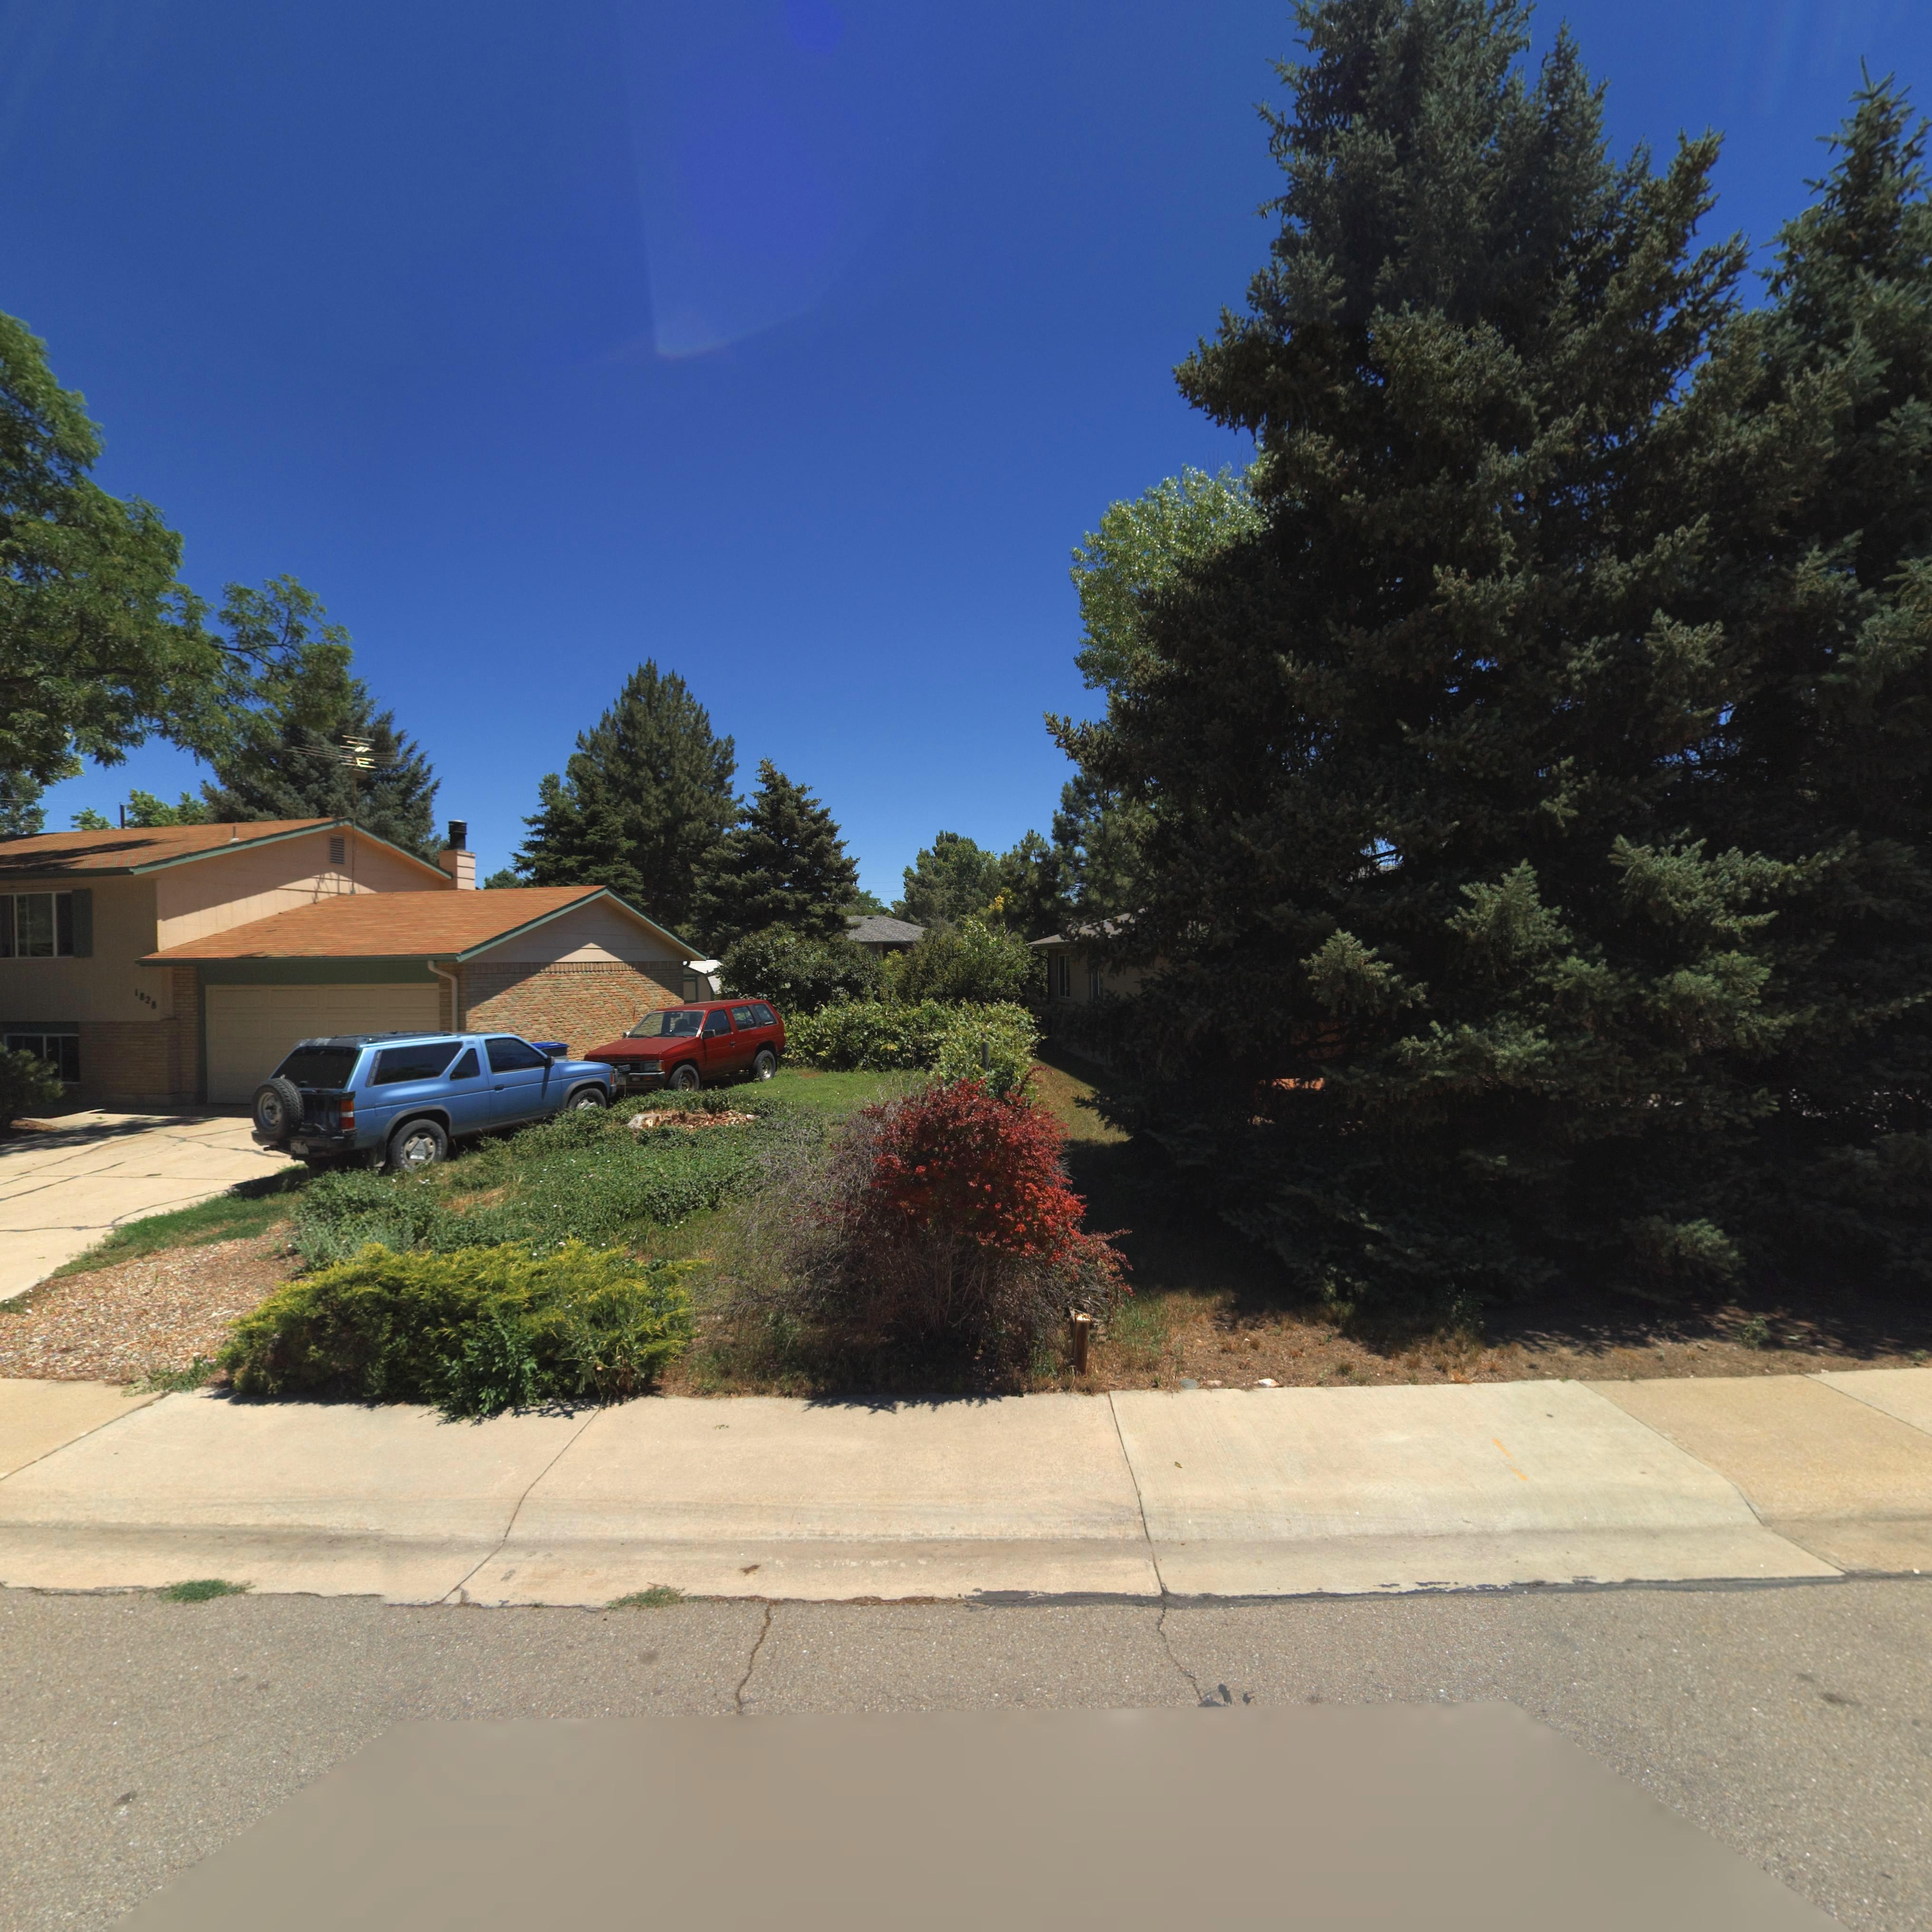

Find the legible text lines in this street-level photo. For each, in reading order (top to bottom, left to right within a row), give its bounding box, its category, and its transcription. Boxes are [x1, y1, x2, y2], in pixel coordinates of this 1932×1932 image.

[134, 986, 156, 1010] StreetNumber: 1828